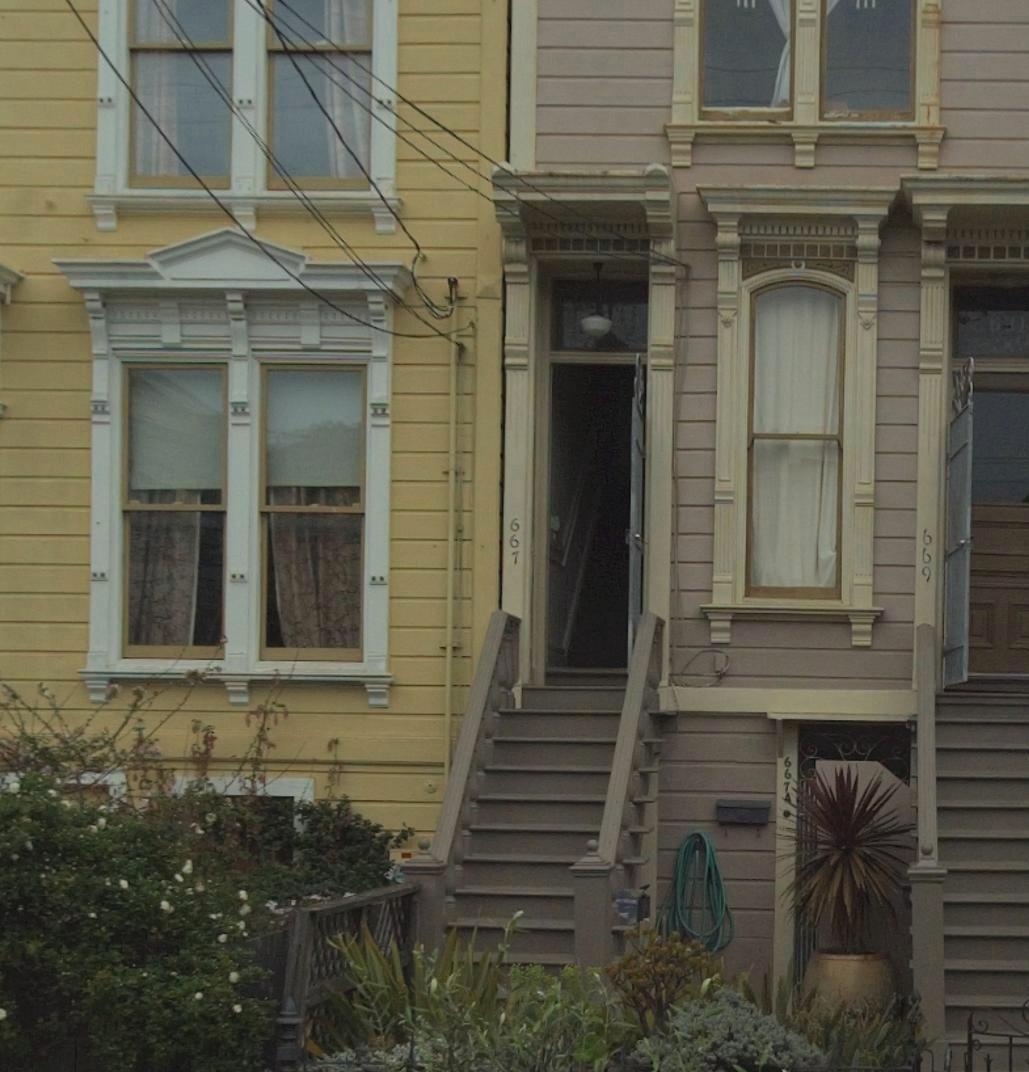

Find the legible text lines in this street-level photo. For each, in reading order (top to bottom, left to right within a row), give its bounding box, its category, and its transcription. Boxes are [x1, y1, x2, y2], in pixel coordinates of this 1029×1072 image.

[508, 516, 522, 566] StreetNumber: 667
[920, 527, 934, 585] StreetNumber: 669
[783, 755, 792, 806] StreetNumber: 667A